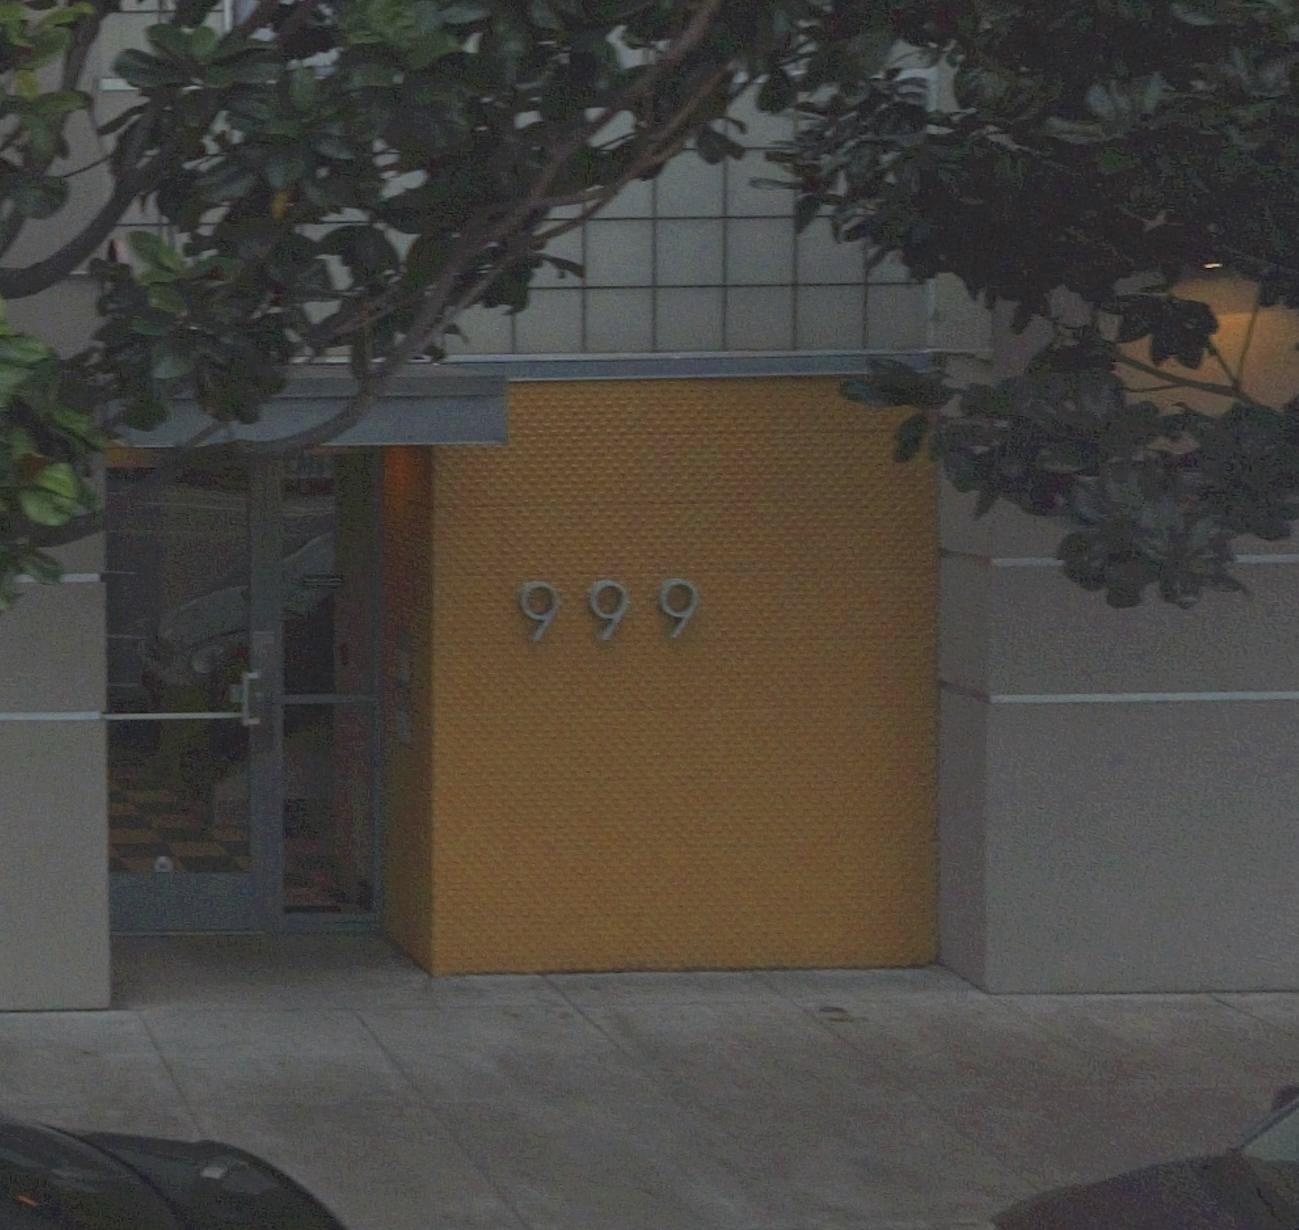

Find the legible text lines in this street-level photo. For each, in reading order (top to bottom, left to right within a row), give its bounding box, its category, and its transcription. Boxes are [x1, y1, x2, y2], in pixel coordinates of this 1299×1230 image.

[516, 576, 699, 643] StreetNumber: 999